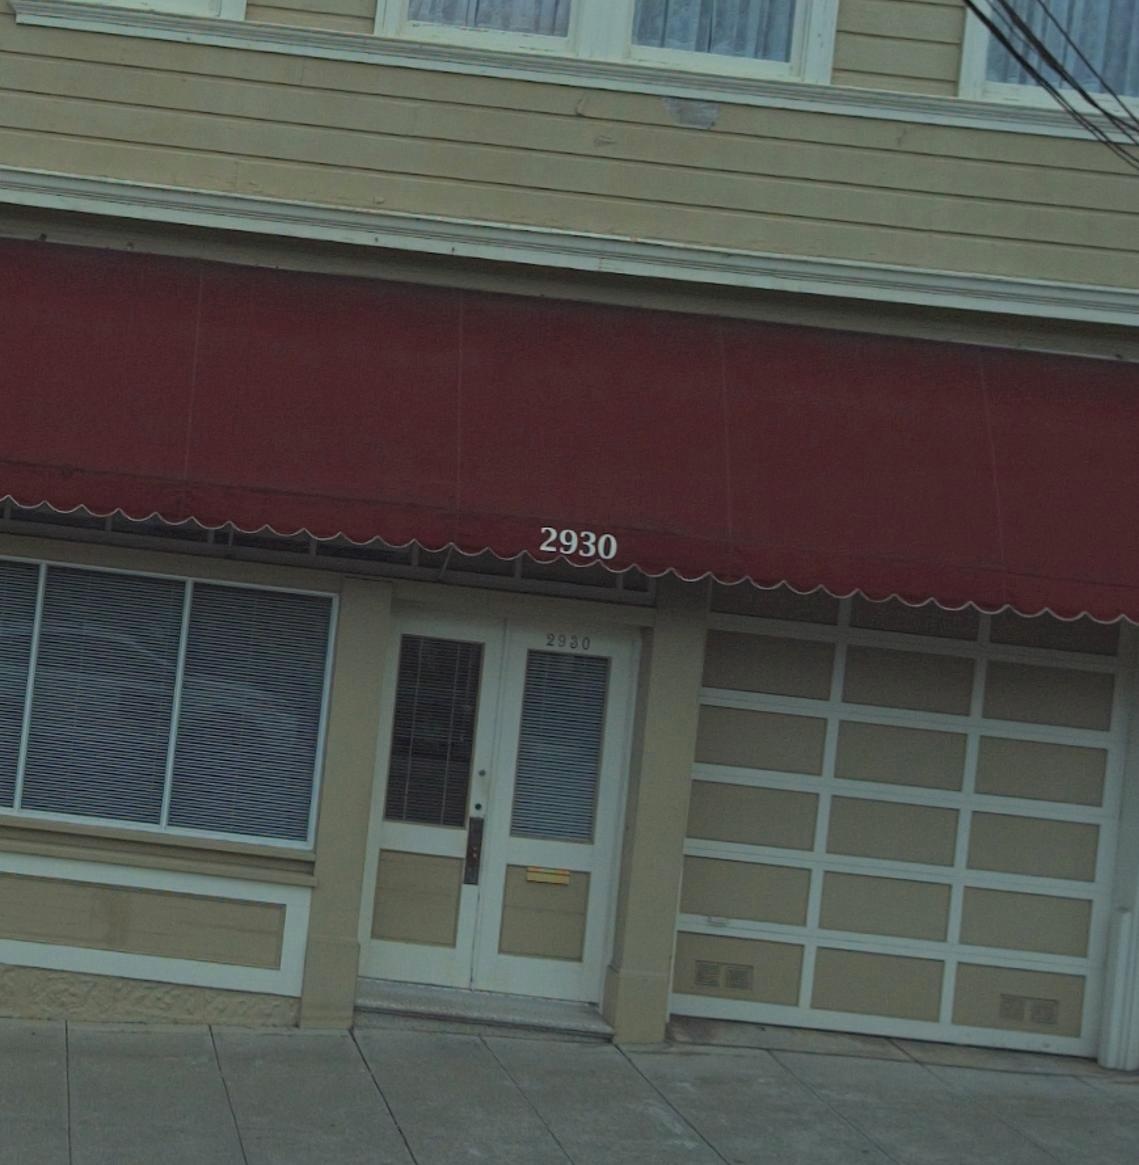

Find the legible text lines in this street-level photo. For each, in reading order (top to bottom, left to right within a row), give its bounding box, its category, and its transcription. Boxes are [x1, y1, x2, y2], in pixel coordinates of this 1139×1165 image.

[536, 524, 622, 563] StreetNumber: 2930
[544, 630, 593, 653] StreetNumber: 2930